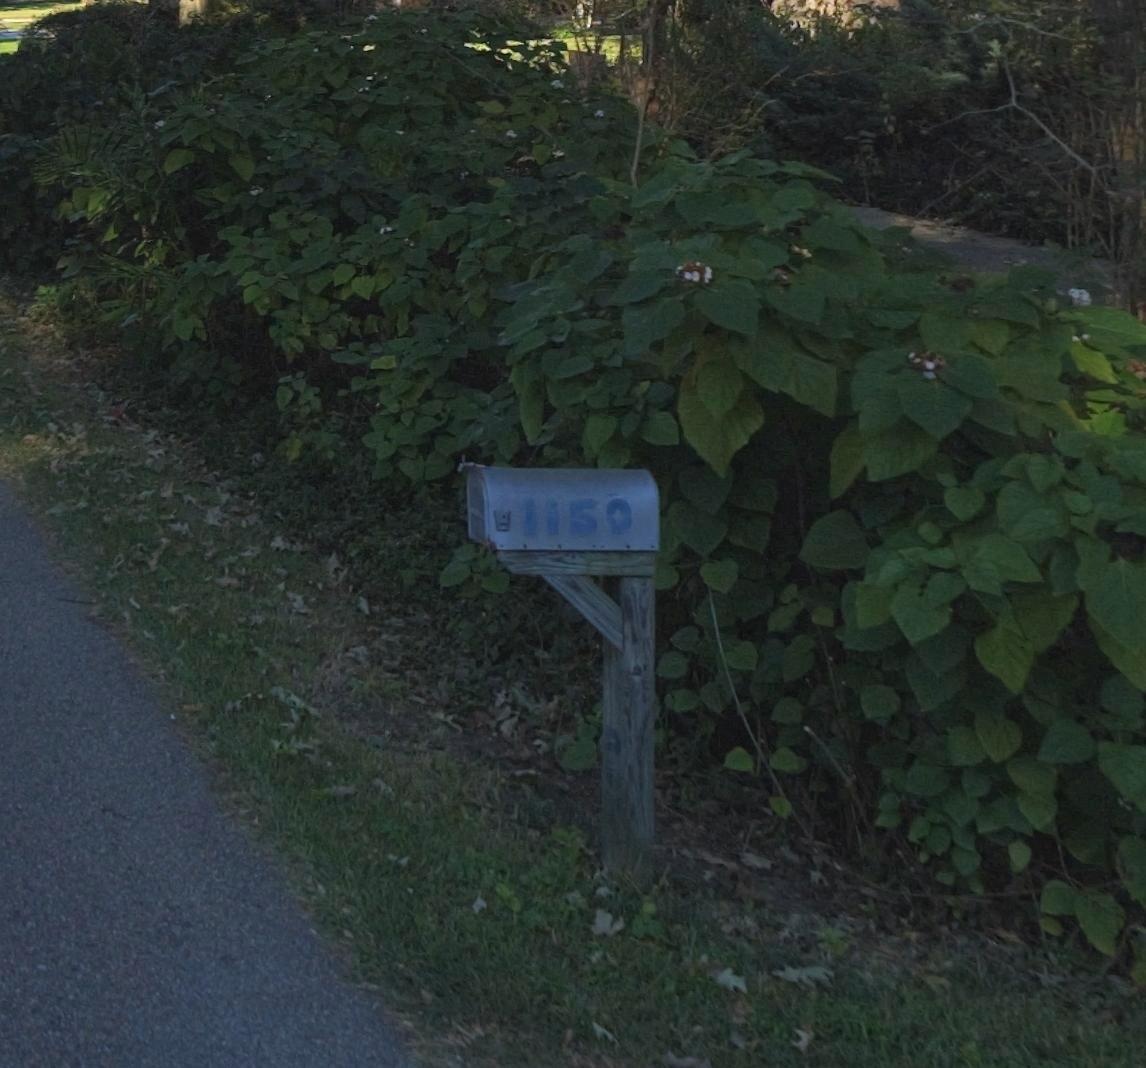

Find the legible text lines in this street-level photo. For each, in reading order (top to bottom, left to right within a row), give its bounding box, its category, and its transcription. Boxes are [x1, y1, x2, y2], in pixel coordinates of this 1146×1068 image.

[520, 493, 635, 541] StreetNumber: 1150